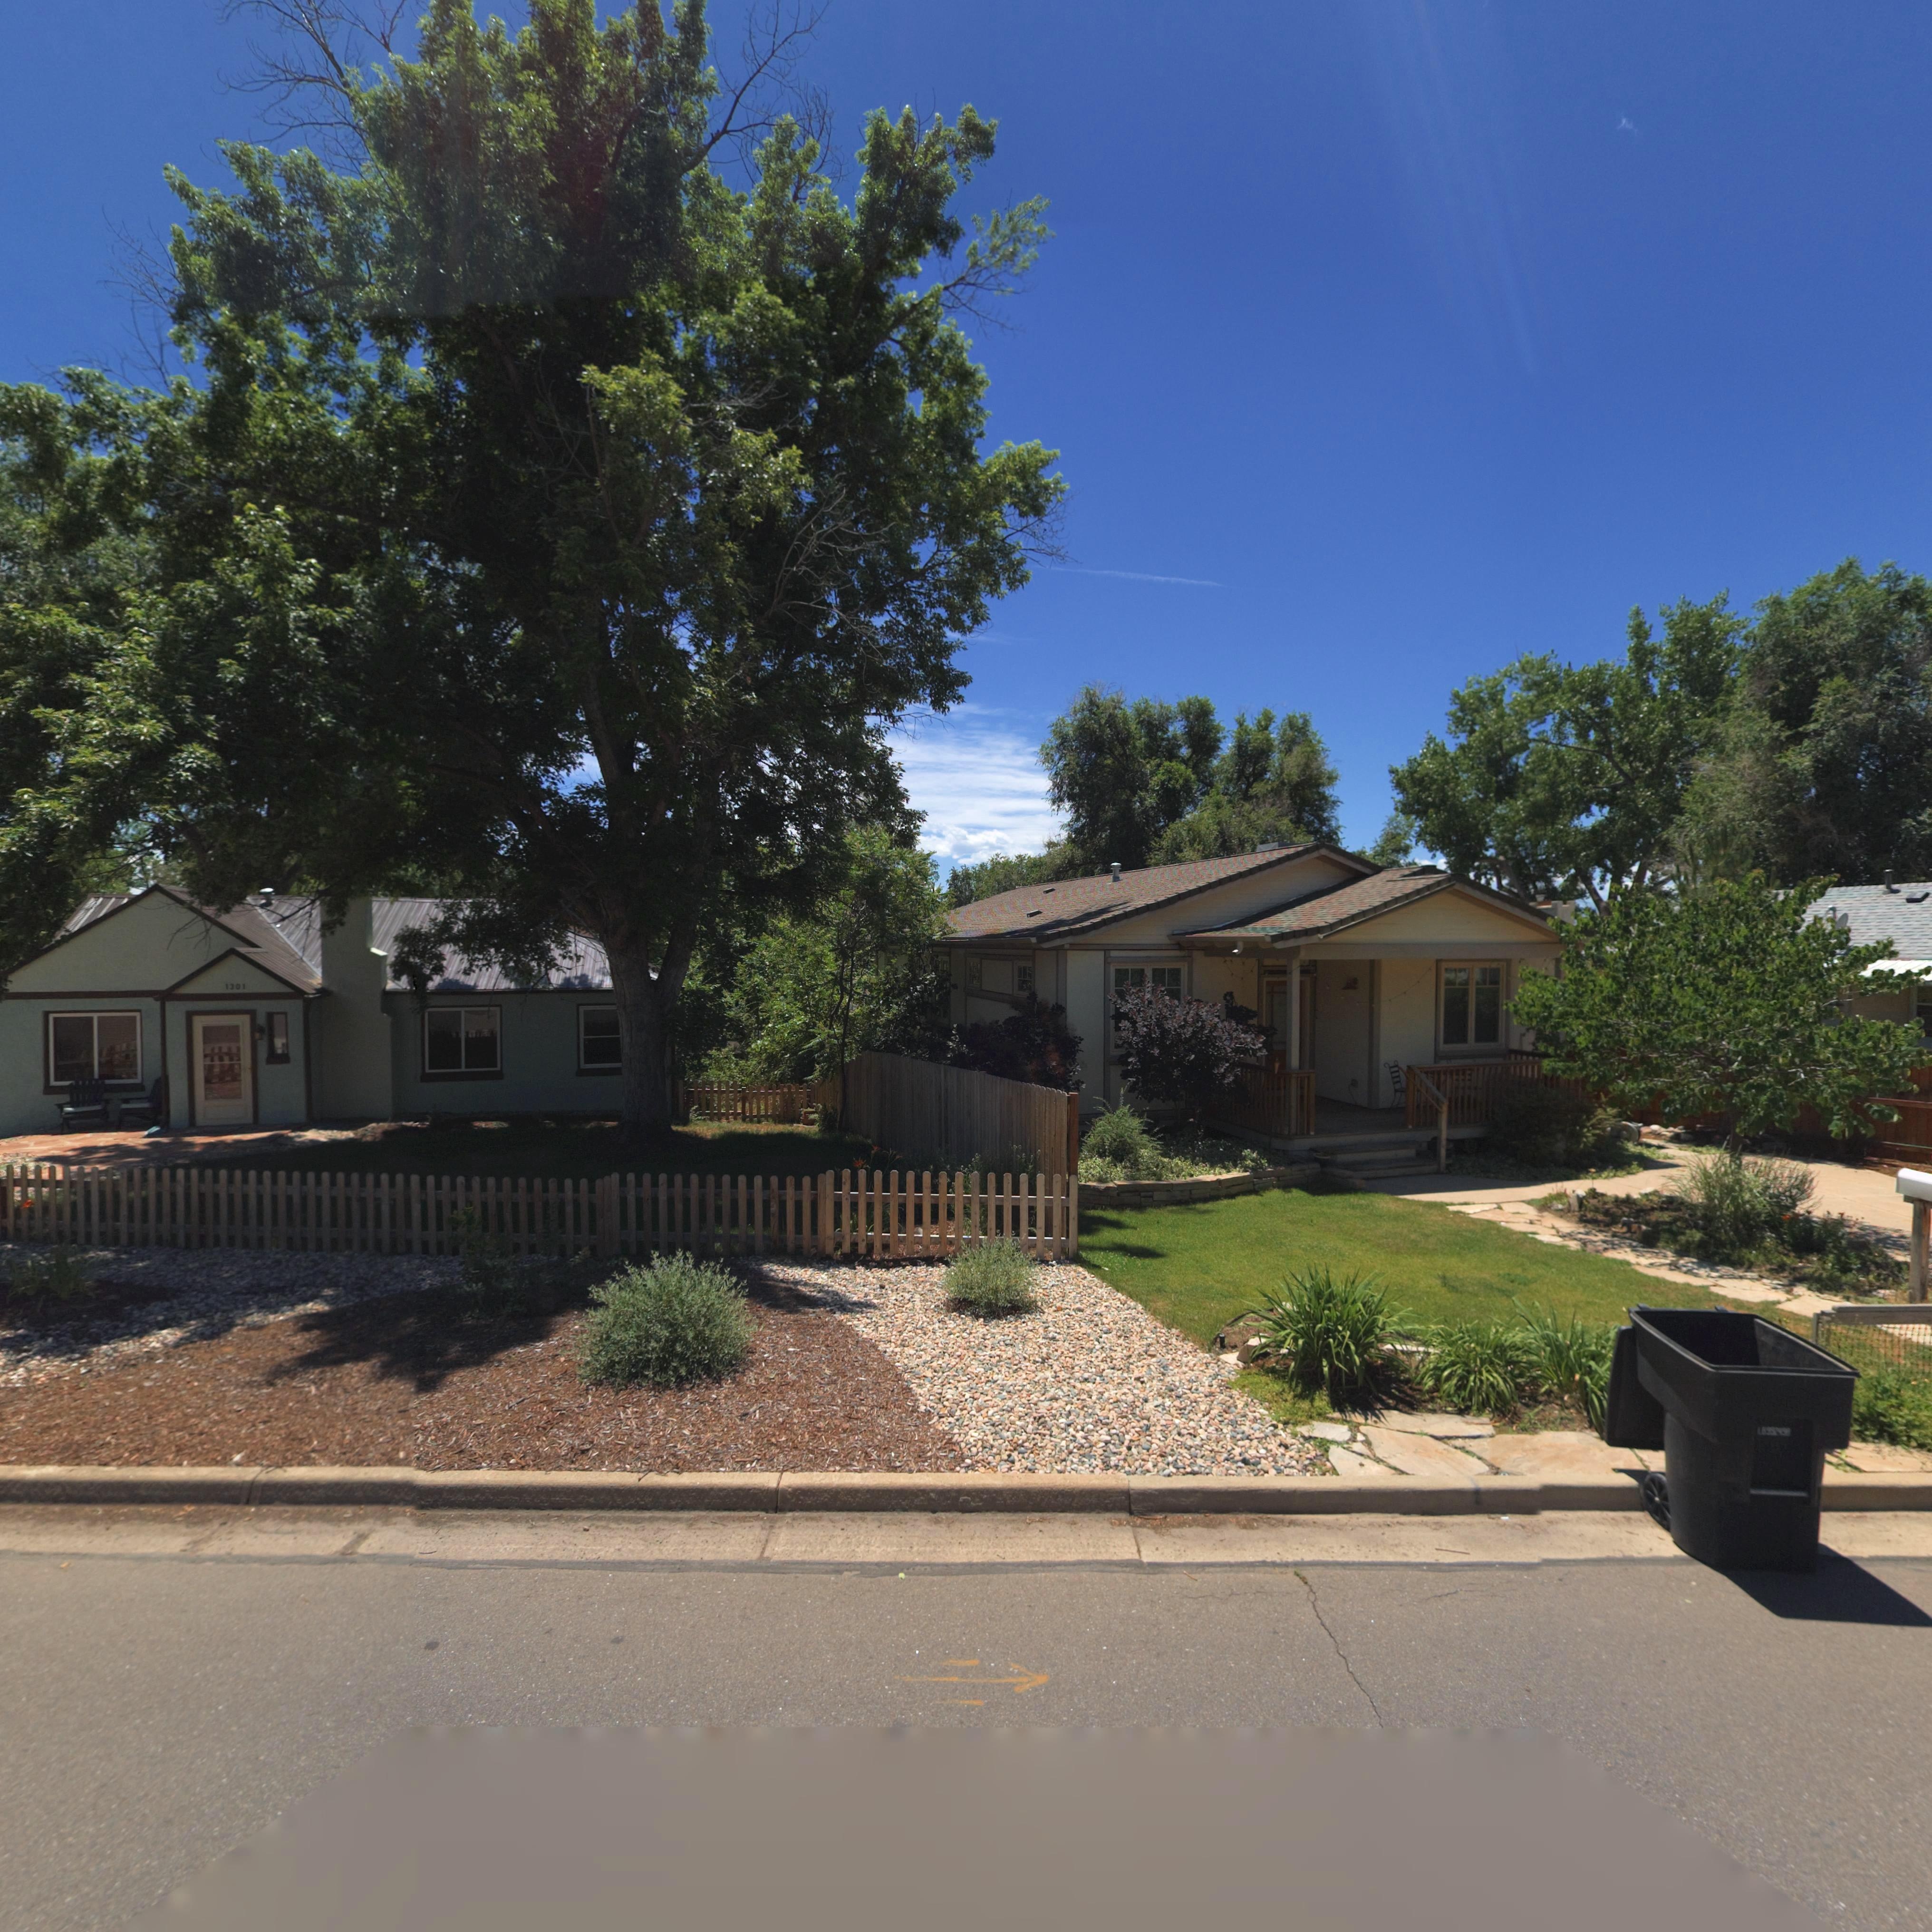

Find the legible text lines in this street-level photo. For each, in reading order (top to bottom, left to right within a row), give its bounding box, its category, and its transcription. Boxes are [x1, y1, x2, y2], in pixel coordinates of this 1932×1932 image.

[225, 983, 245, 990] StreetNumber: 1301